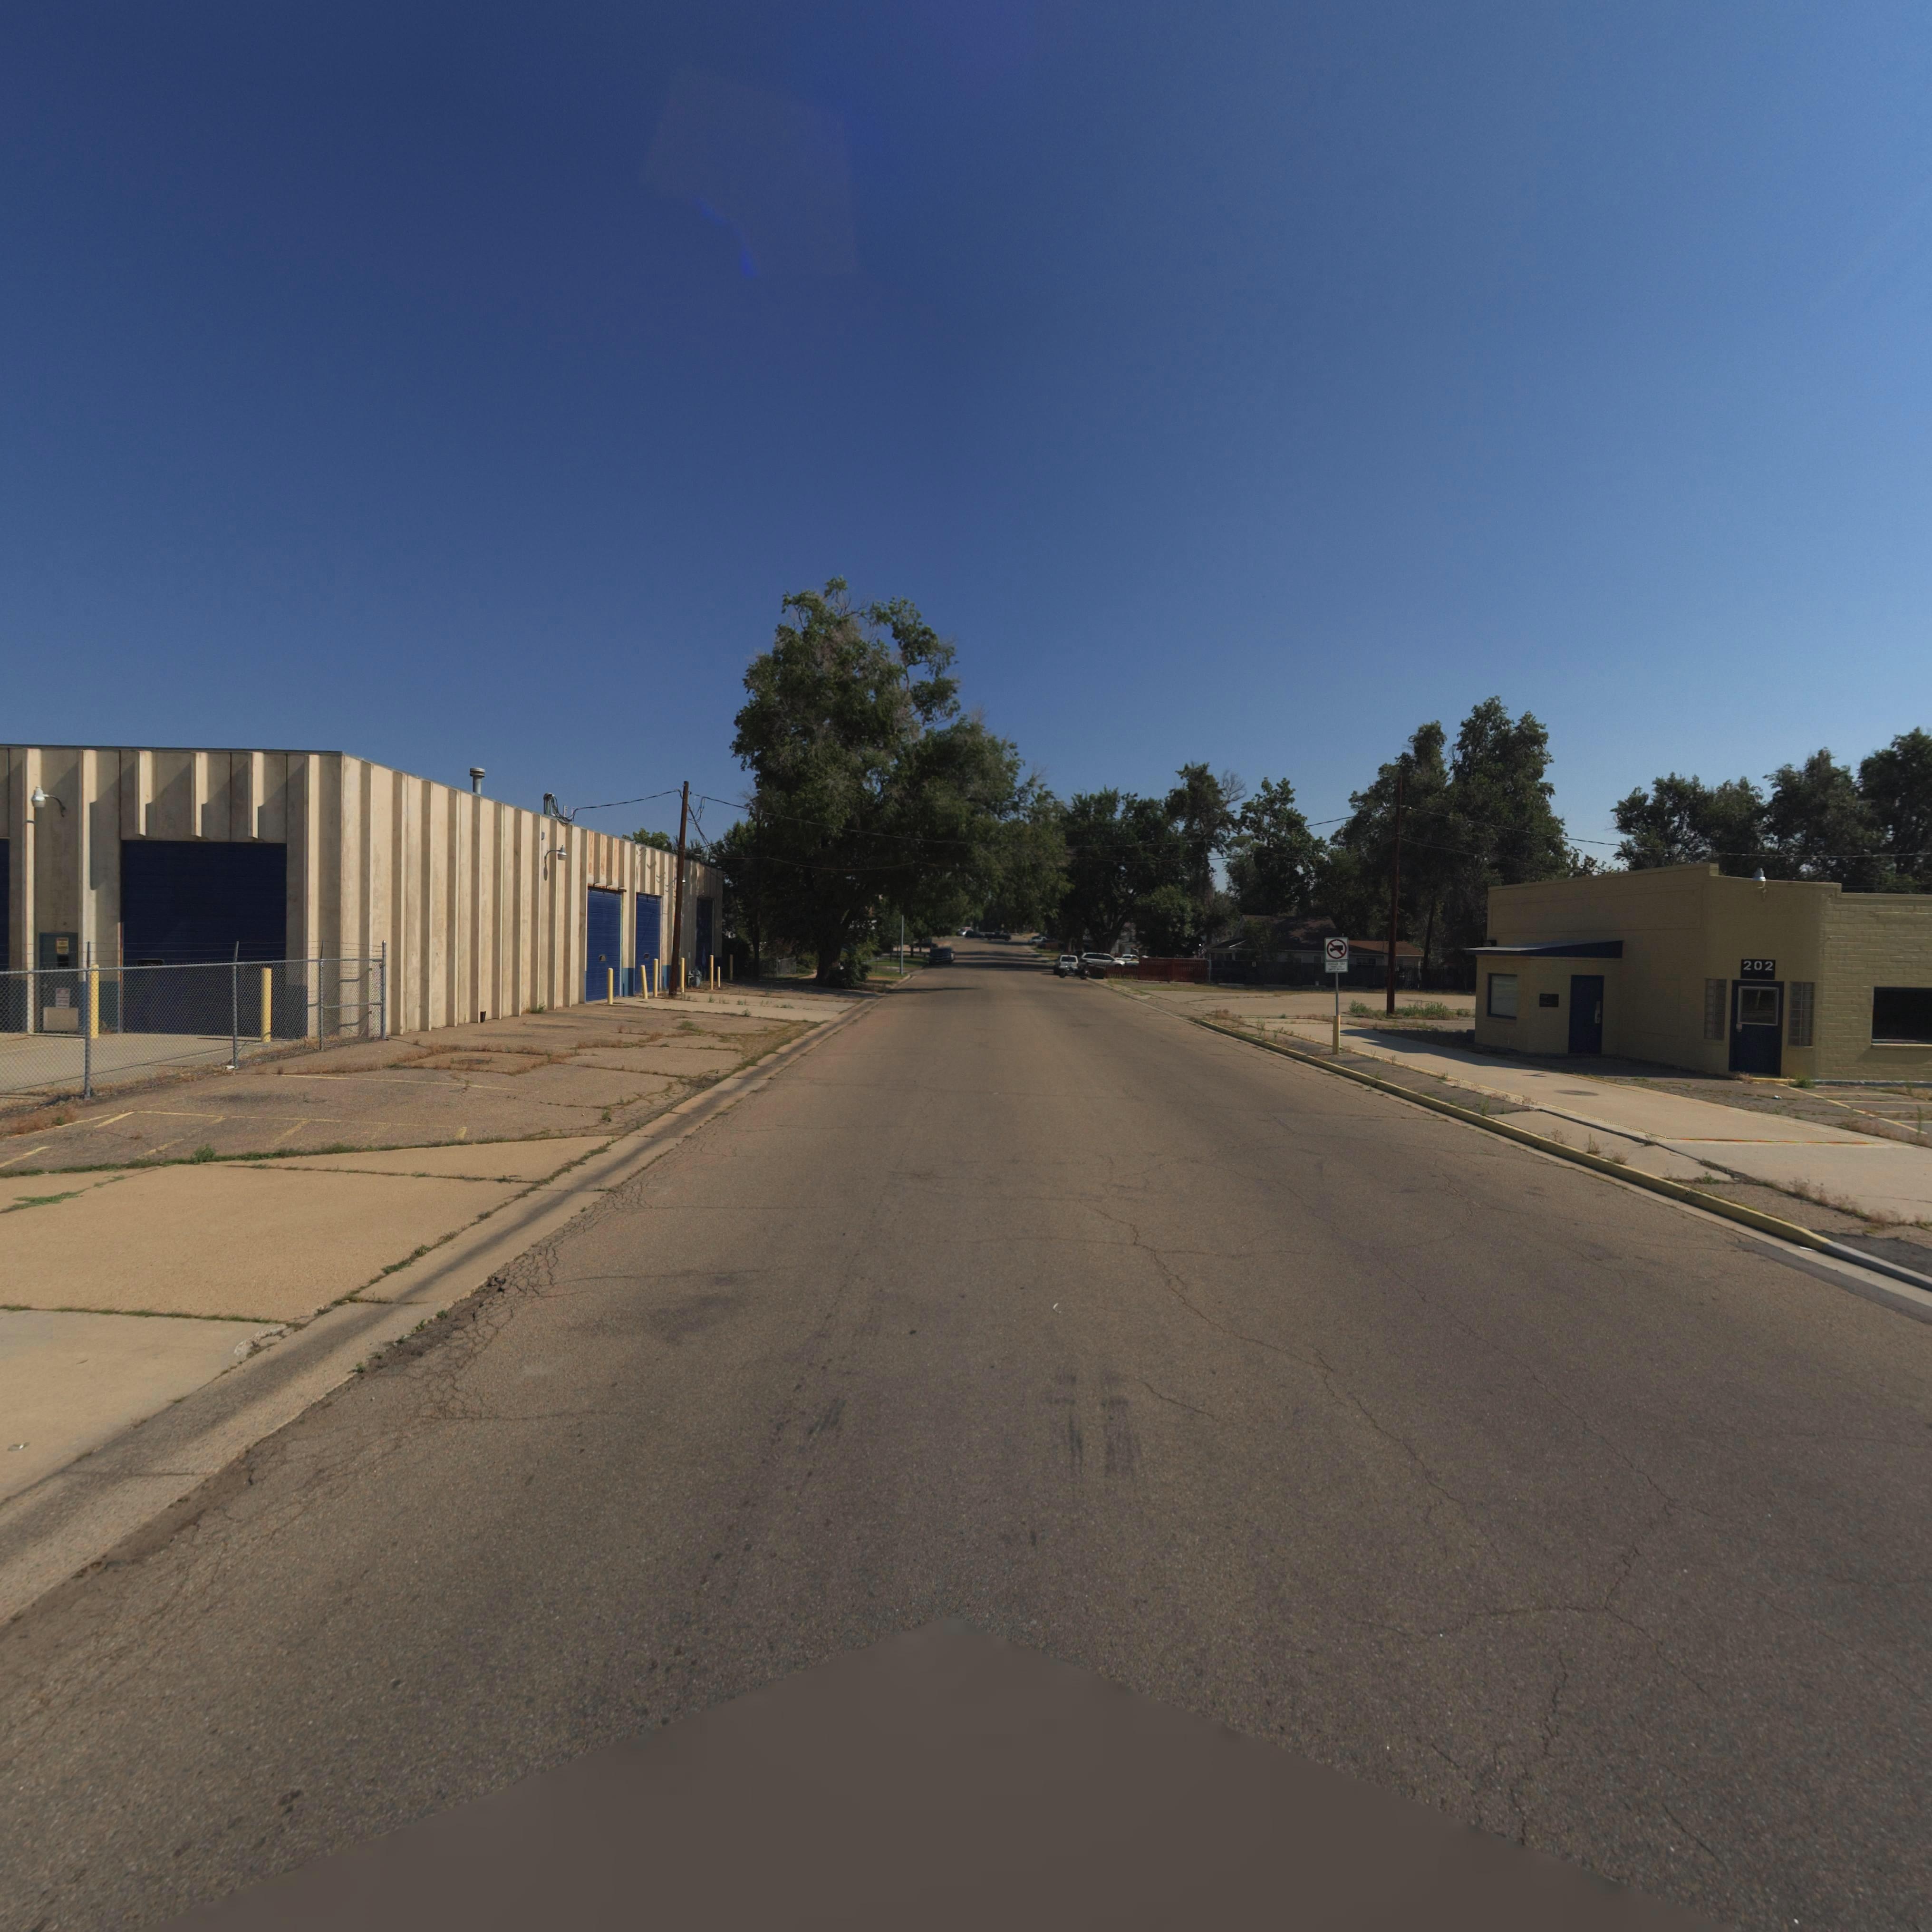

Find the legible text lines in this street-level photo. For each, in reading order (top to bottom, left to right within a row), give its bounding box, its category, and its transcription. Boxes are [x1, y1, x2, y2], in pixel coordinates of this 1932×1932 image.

[1742, 960, 1774, 971] StreetNumber: 202